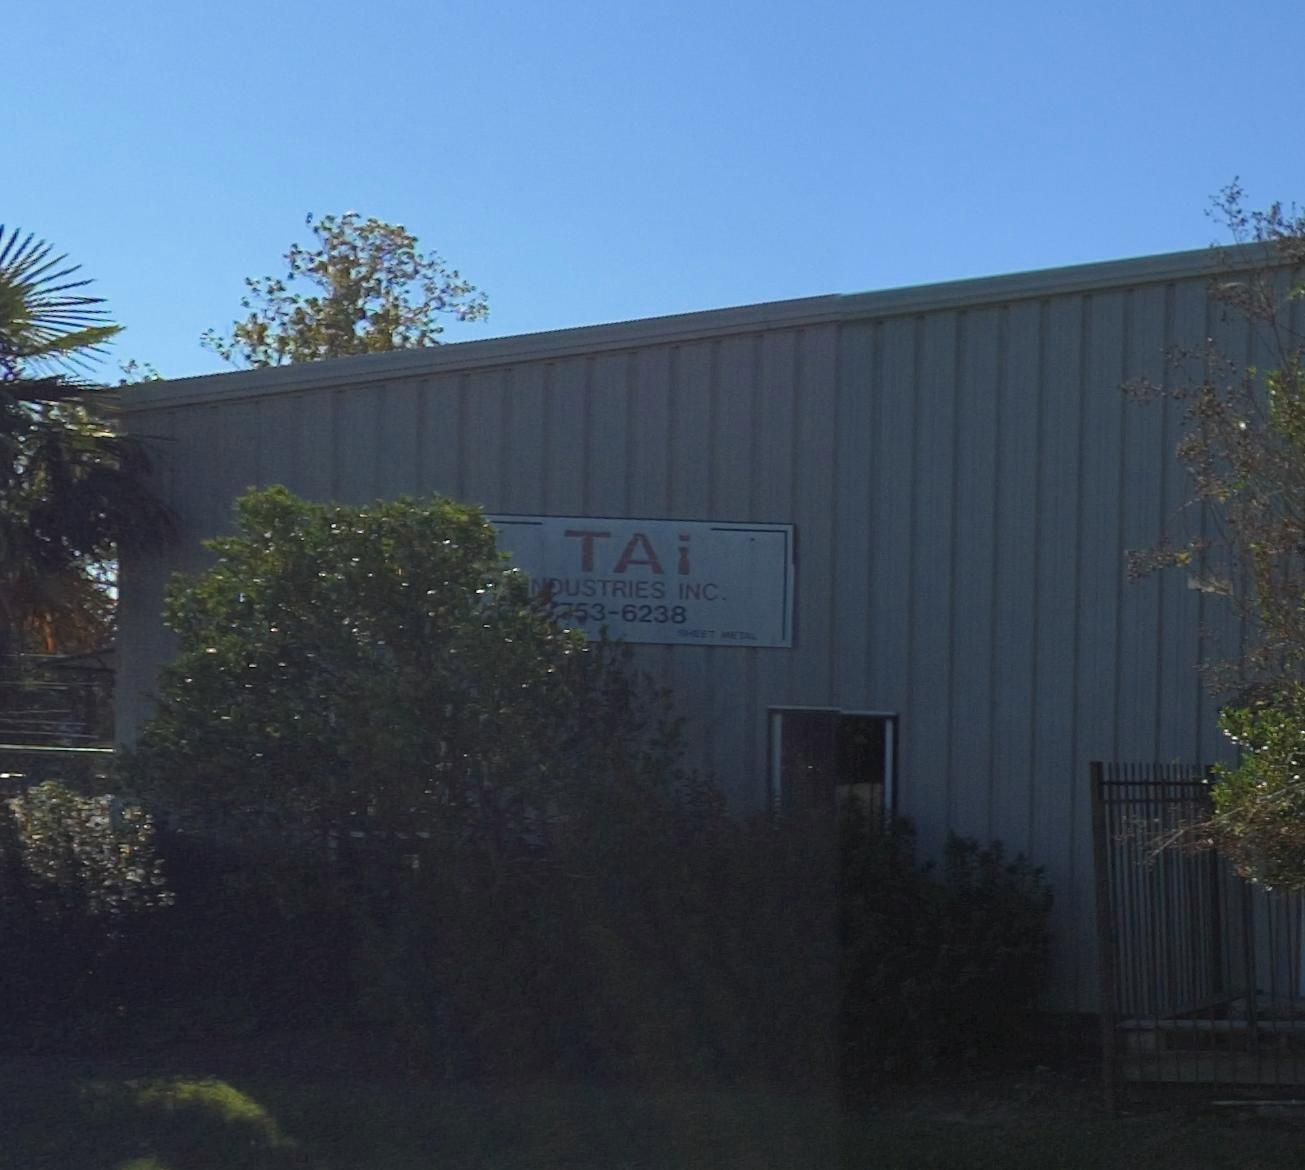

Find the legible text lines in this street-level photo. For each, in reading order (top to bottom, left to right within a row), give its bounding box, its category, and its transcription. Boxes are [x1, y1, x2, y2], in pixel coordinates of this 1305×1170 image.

[559, 524, 694, 580] BusinessName: TAi
[547, 574, 731, 605] BusinessName: DUSTRIES INC.
[588, 599, 690, 627] None: 3-6238
[675, 626, 760, 642] None: SHEET METAL